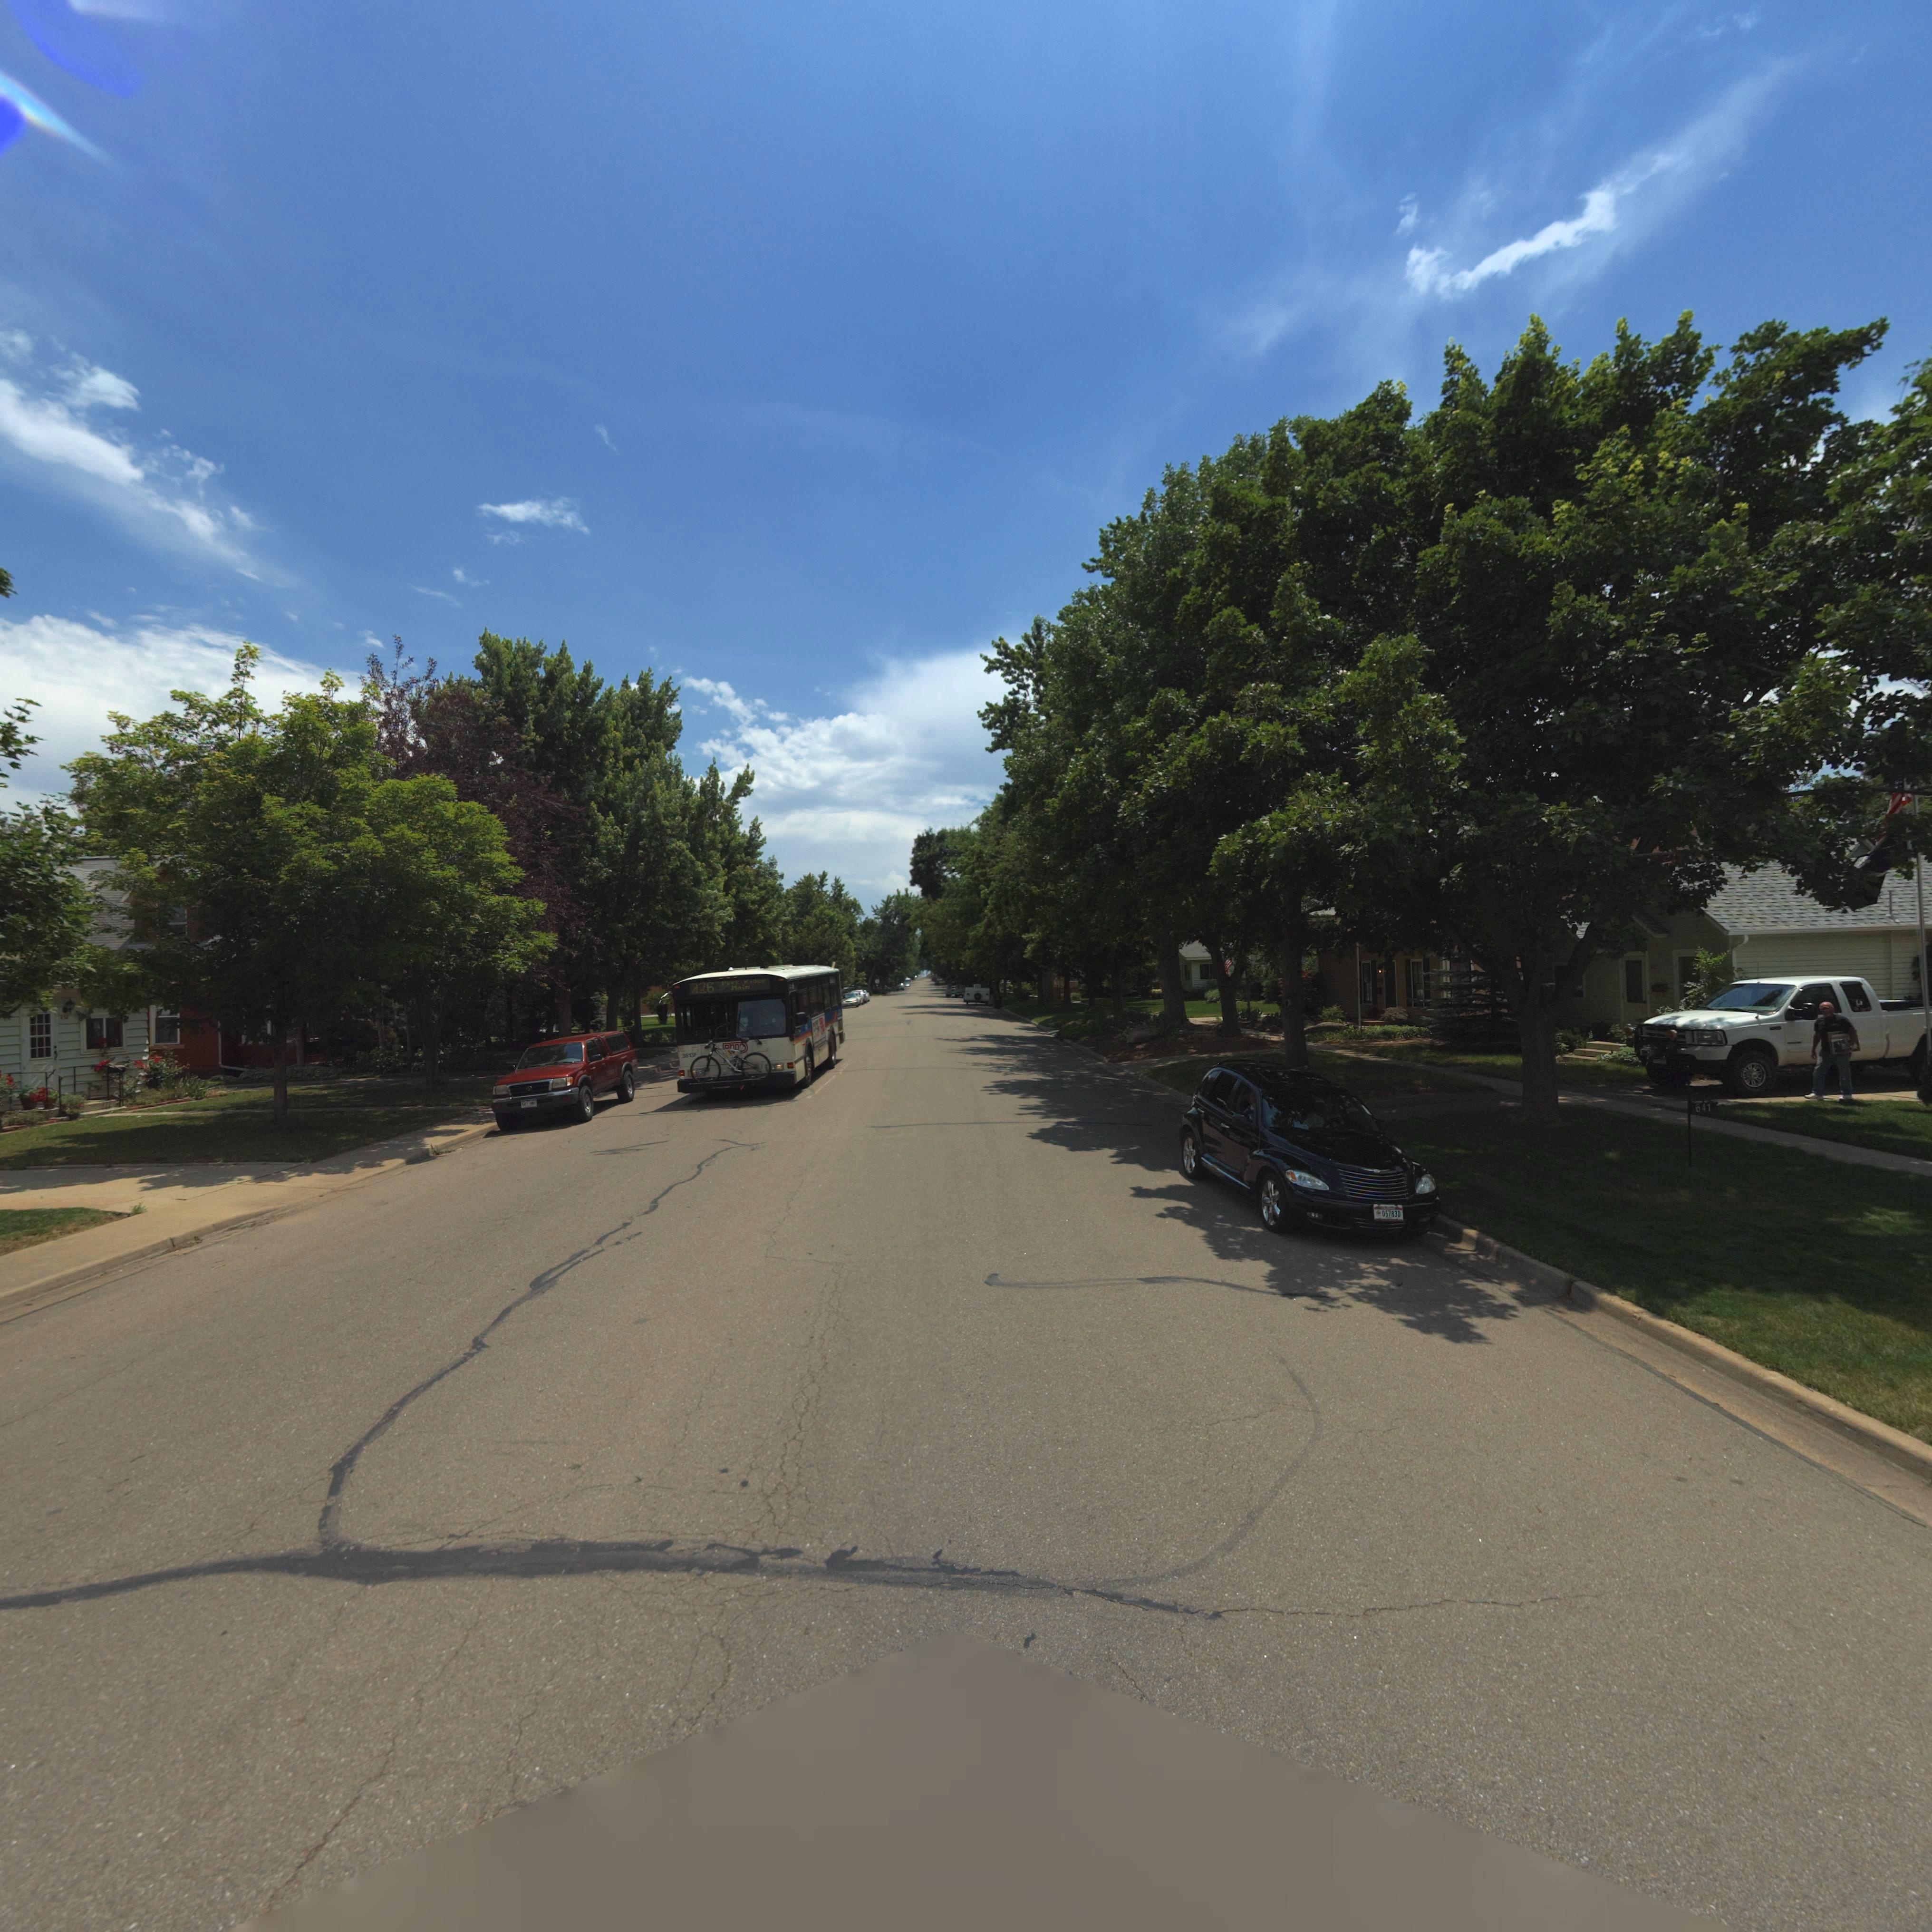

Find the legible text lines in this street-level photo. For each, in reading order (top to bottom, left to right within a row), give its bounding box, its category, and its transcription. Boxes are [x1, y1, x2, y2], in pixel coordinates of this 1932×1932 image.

[60, 1014, 69, 1020] StreetNumber: 6**
[1694, 1102, 1710, 1112] StreetNumber: 641